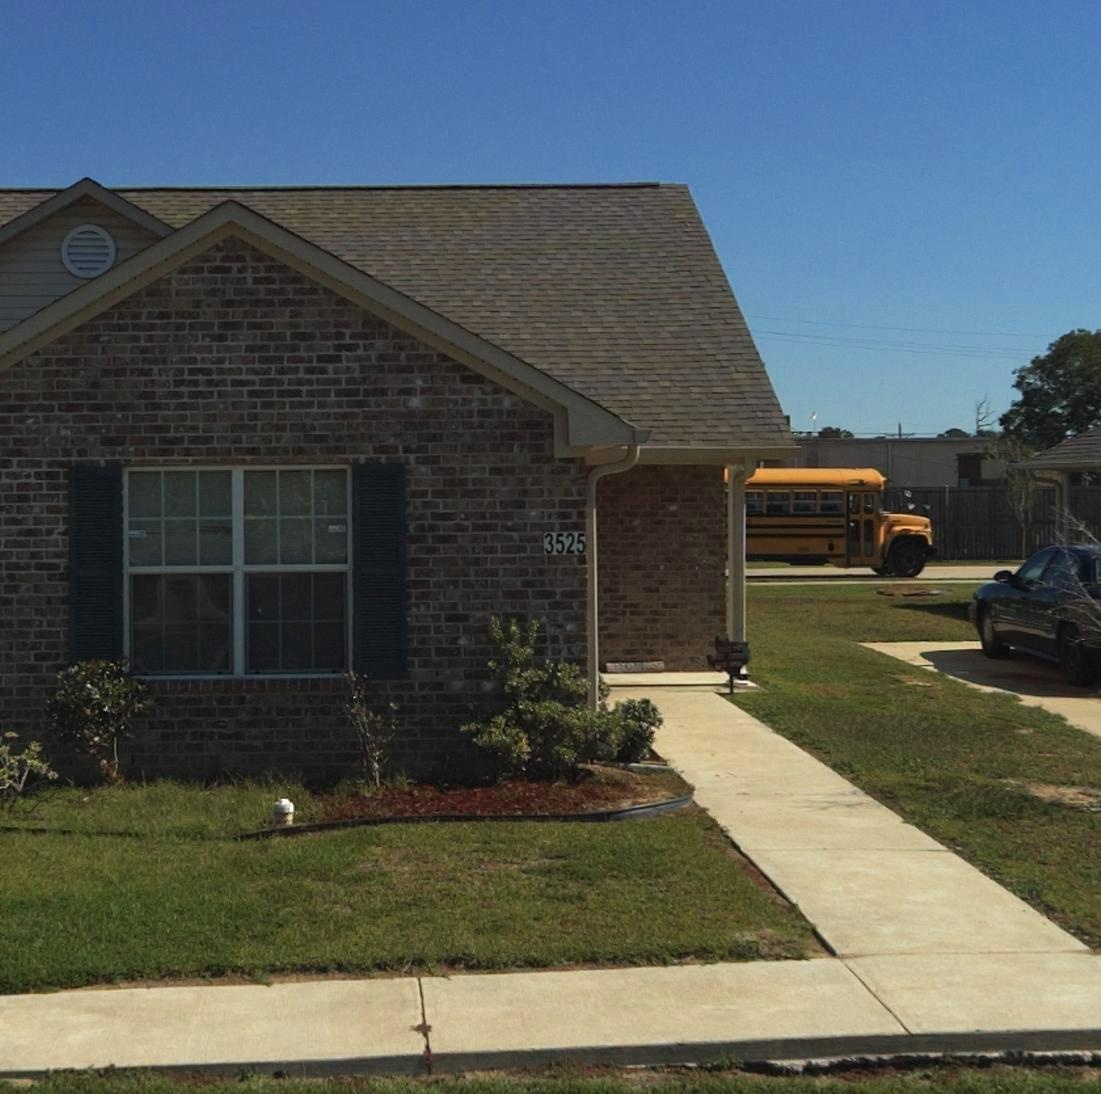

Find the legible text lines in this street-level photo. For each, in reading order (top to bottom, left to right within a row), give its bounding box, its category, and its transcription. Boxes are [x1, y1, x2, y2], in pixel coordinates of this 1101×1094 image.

[544, 532, 587, 555] StreetNumber: 3525